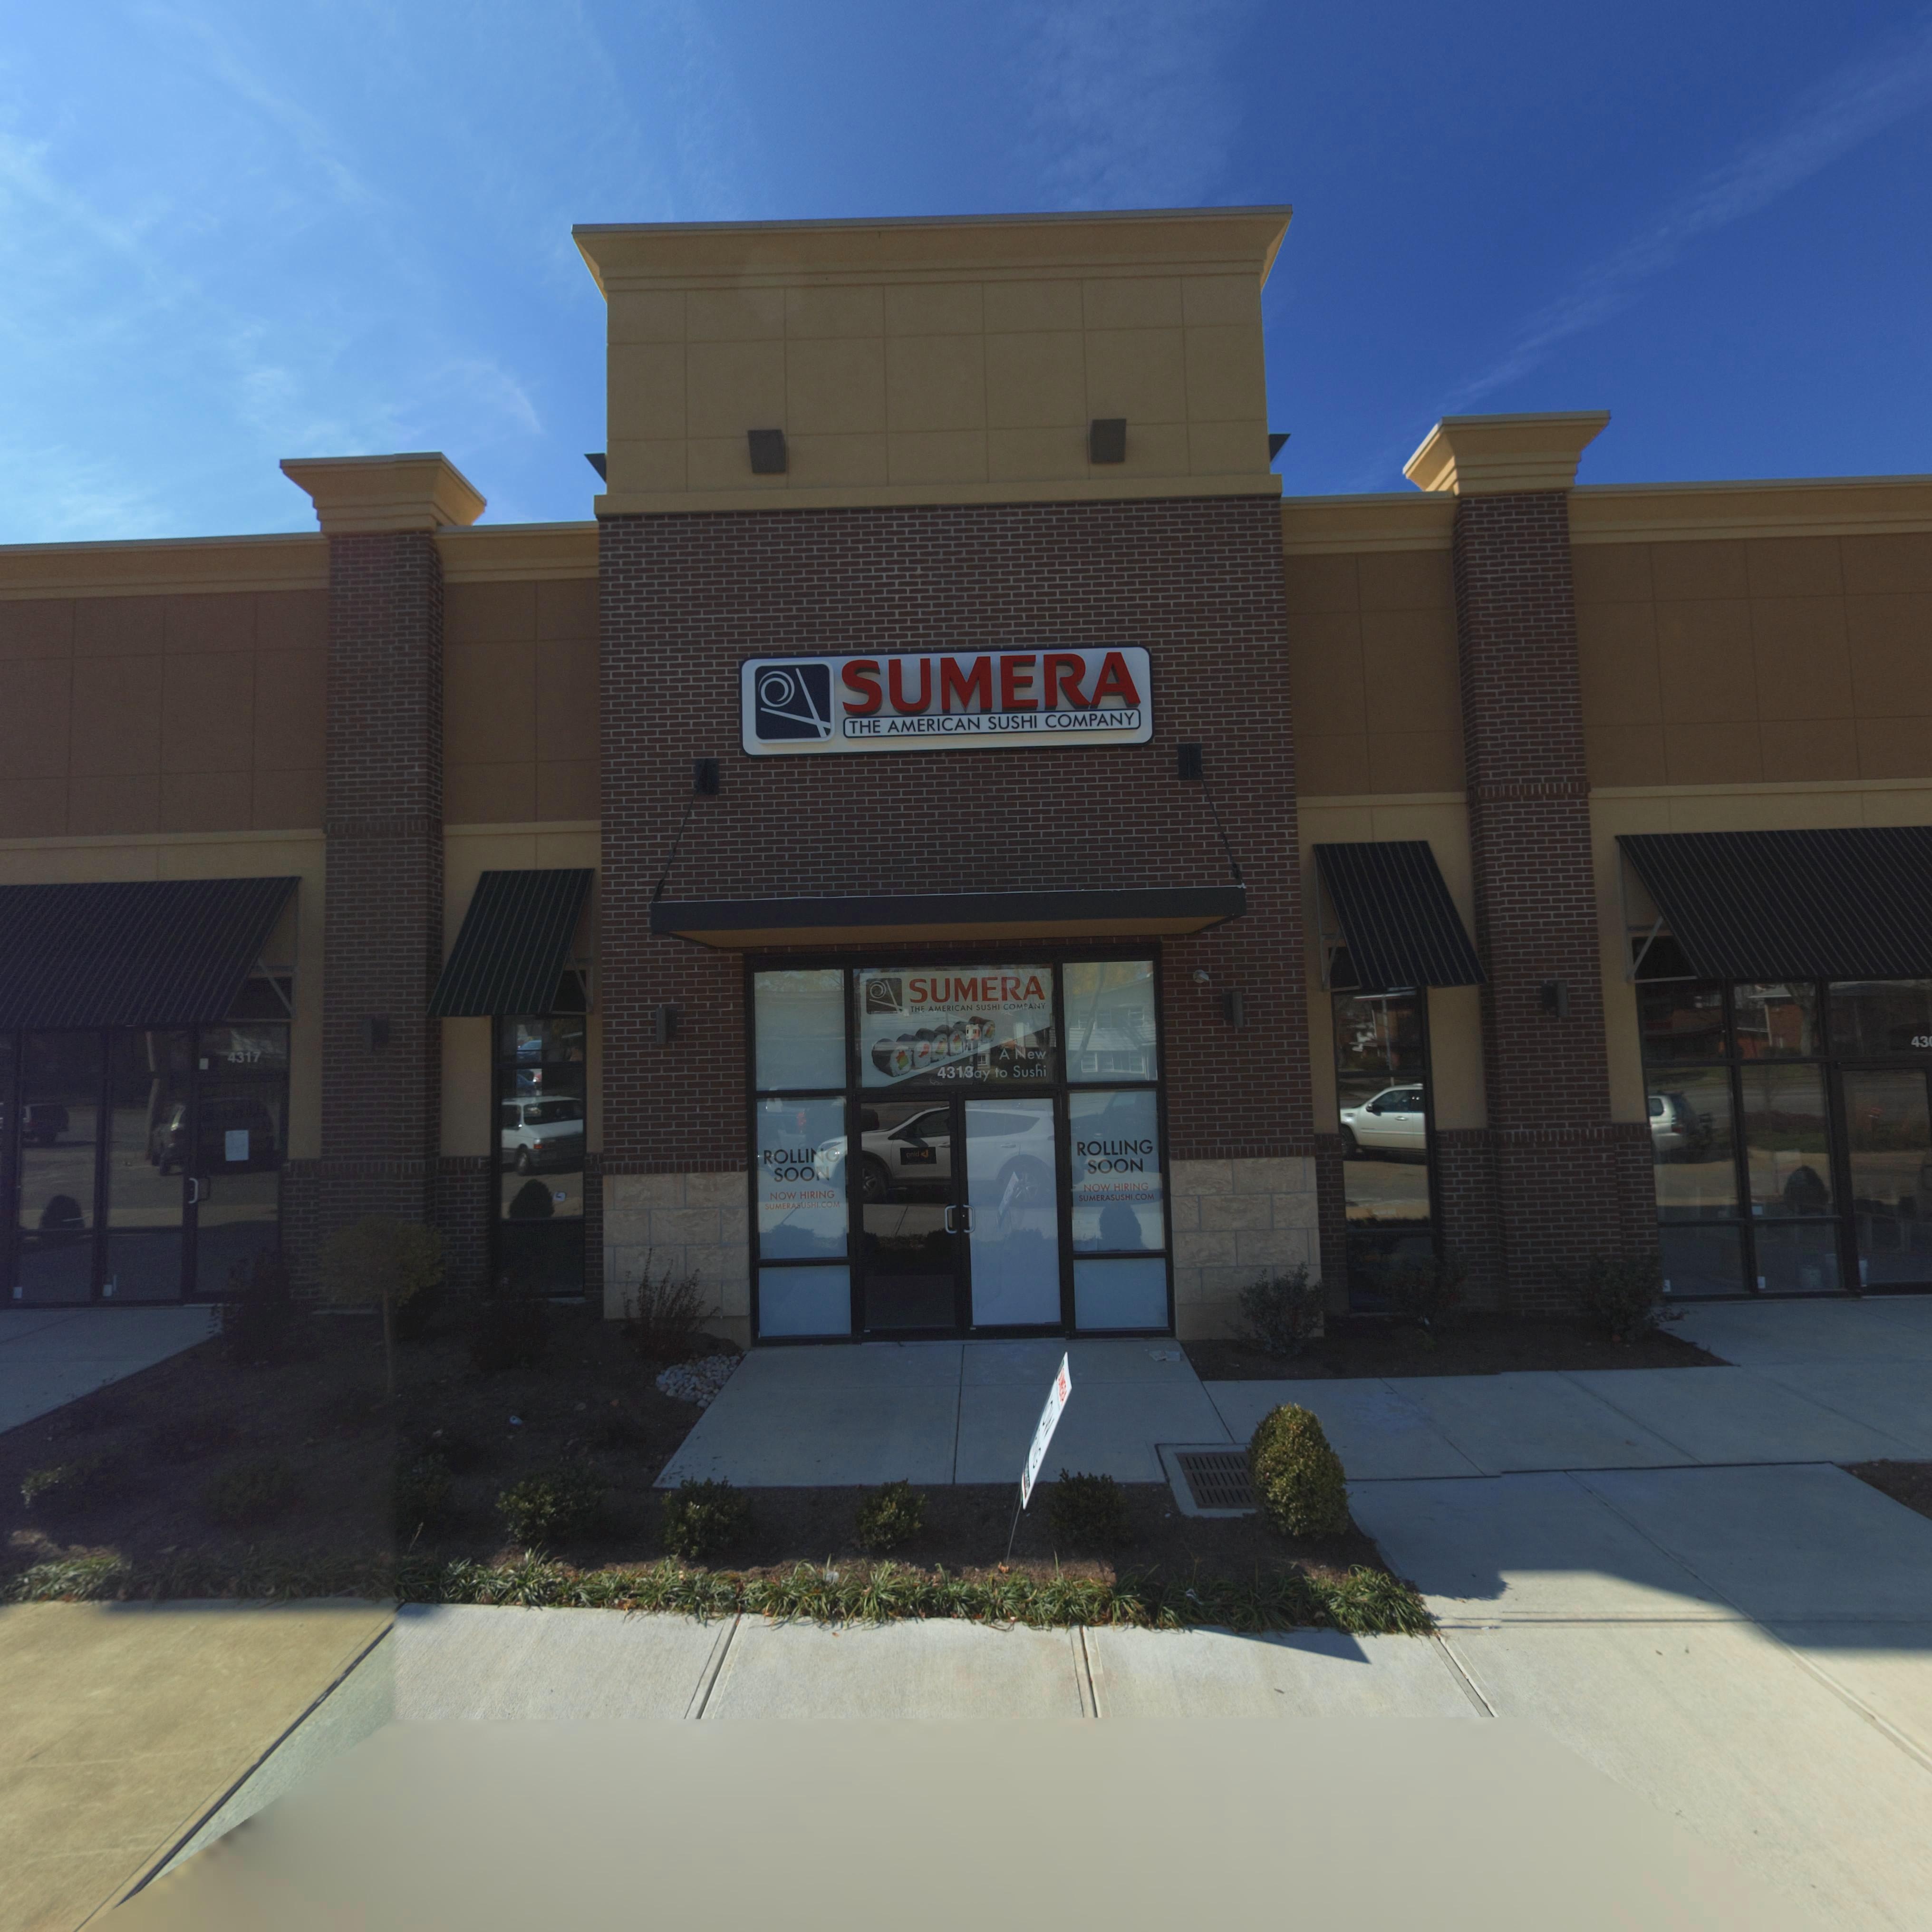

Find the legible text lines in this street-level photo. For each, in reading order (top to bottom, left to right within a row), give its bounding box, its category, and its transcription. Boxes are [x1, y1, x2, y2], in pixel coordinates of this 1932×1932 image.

[840, 649, 1142, 715] BusinessName: SUMERA
[846, 710, 1136, 737] BusinessName: THE AMERICAN SUSHI COMPANY
[908, 974, 1046, 1004] BusinessName: SUMERA
[909, 1002, 1047, 1014] BusinessName: THE AMERICAN SUSHI COMPANY
[1909, 1034, 1930, 1049] StreetNumber: 43
[226, 1050, 263, 1064] StreetNumber: 4317
[936, 1064, 975, 1080] StreetNumber: 431*
[905, 1150, 920, 1159] None: **i*